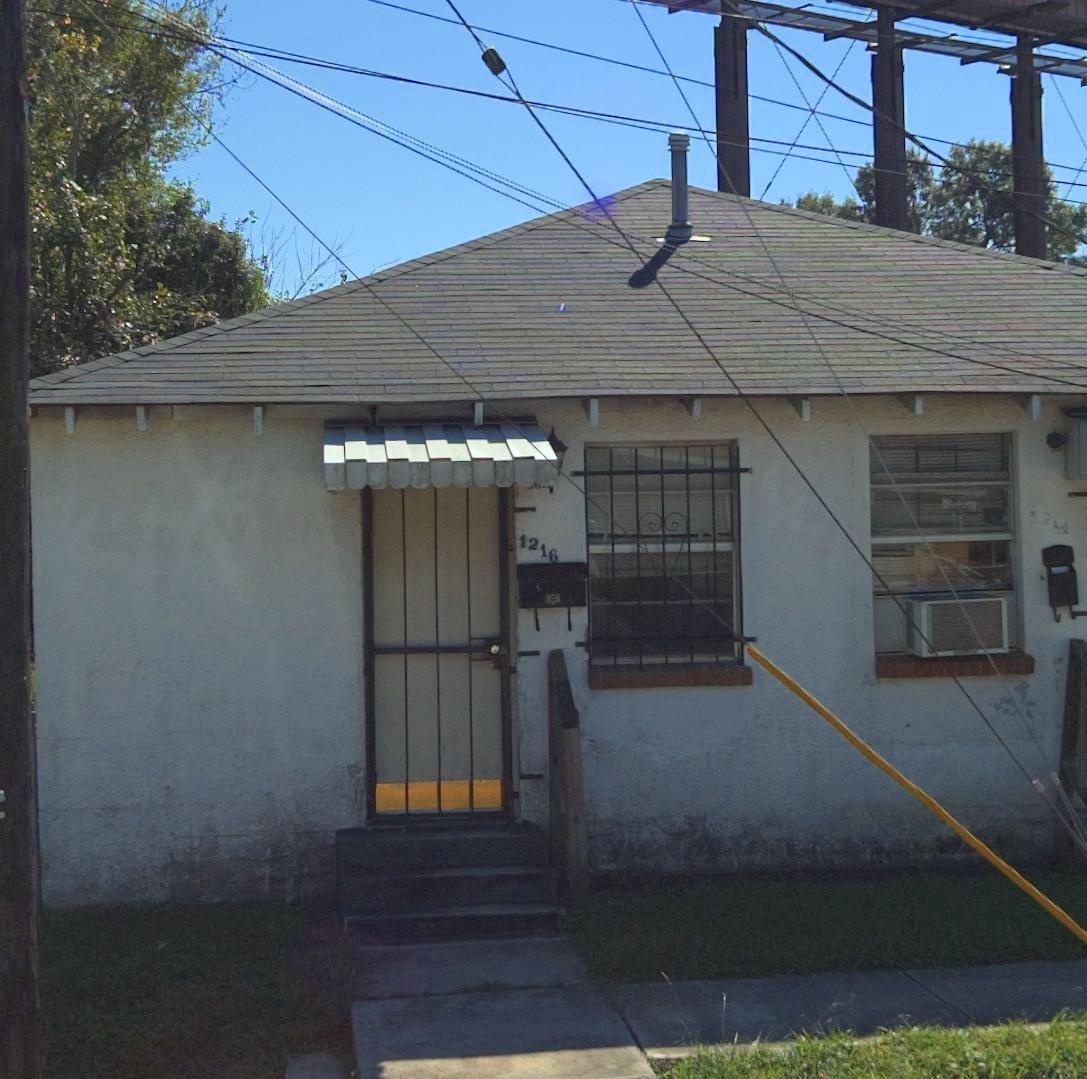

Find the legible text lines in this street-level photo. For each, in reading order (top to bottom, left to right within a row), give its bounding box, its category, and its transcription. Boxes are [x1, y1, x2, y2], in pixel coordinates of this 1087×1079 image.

[1026, 507, 1074, 538] StreetNumber: *214
[517, 532, 560, 565] StreetNumber: 1216